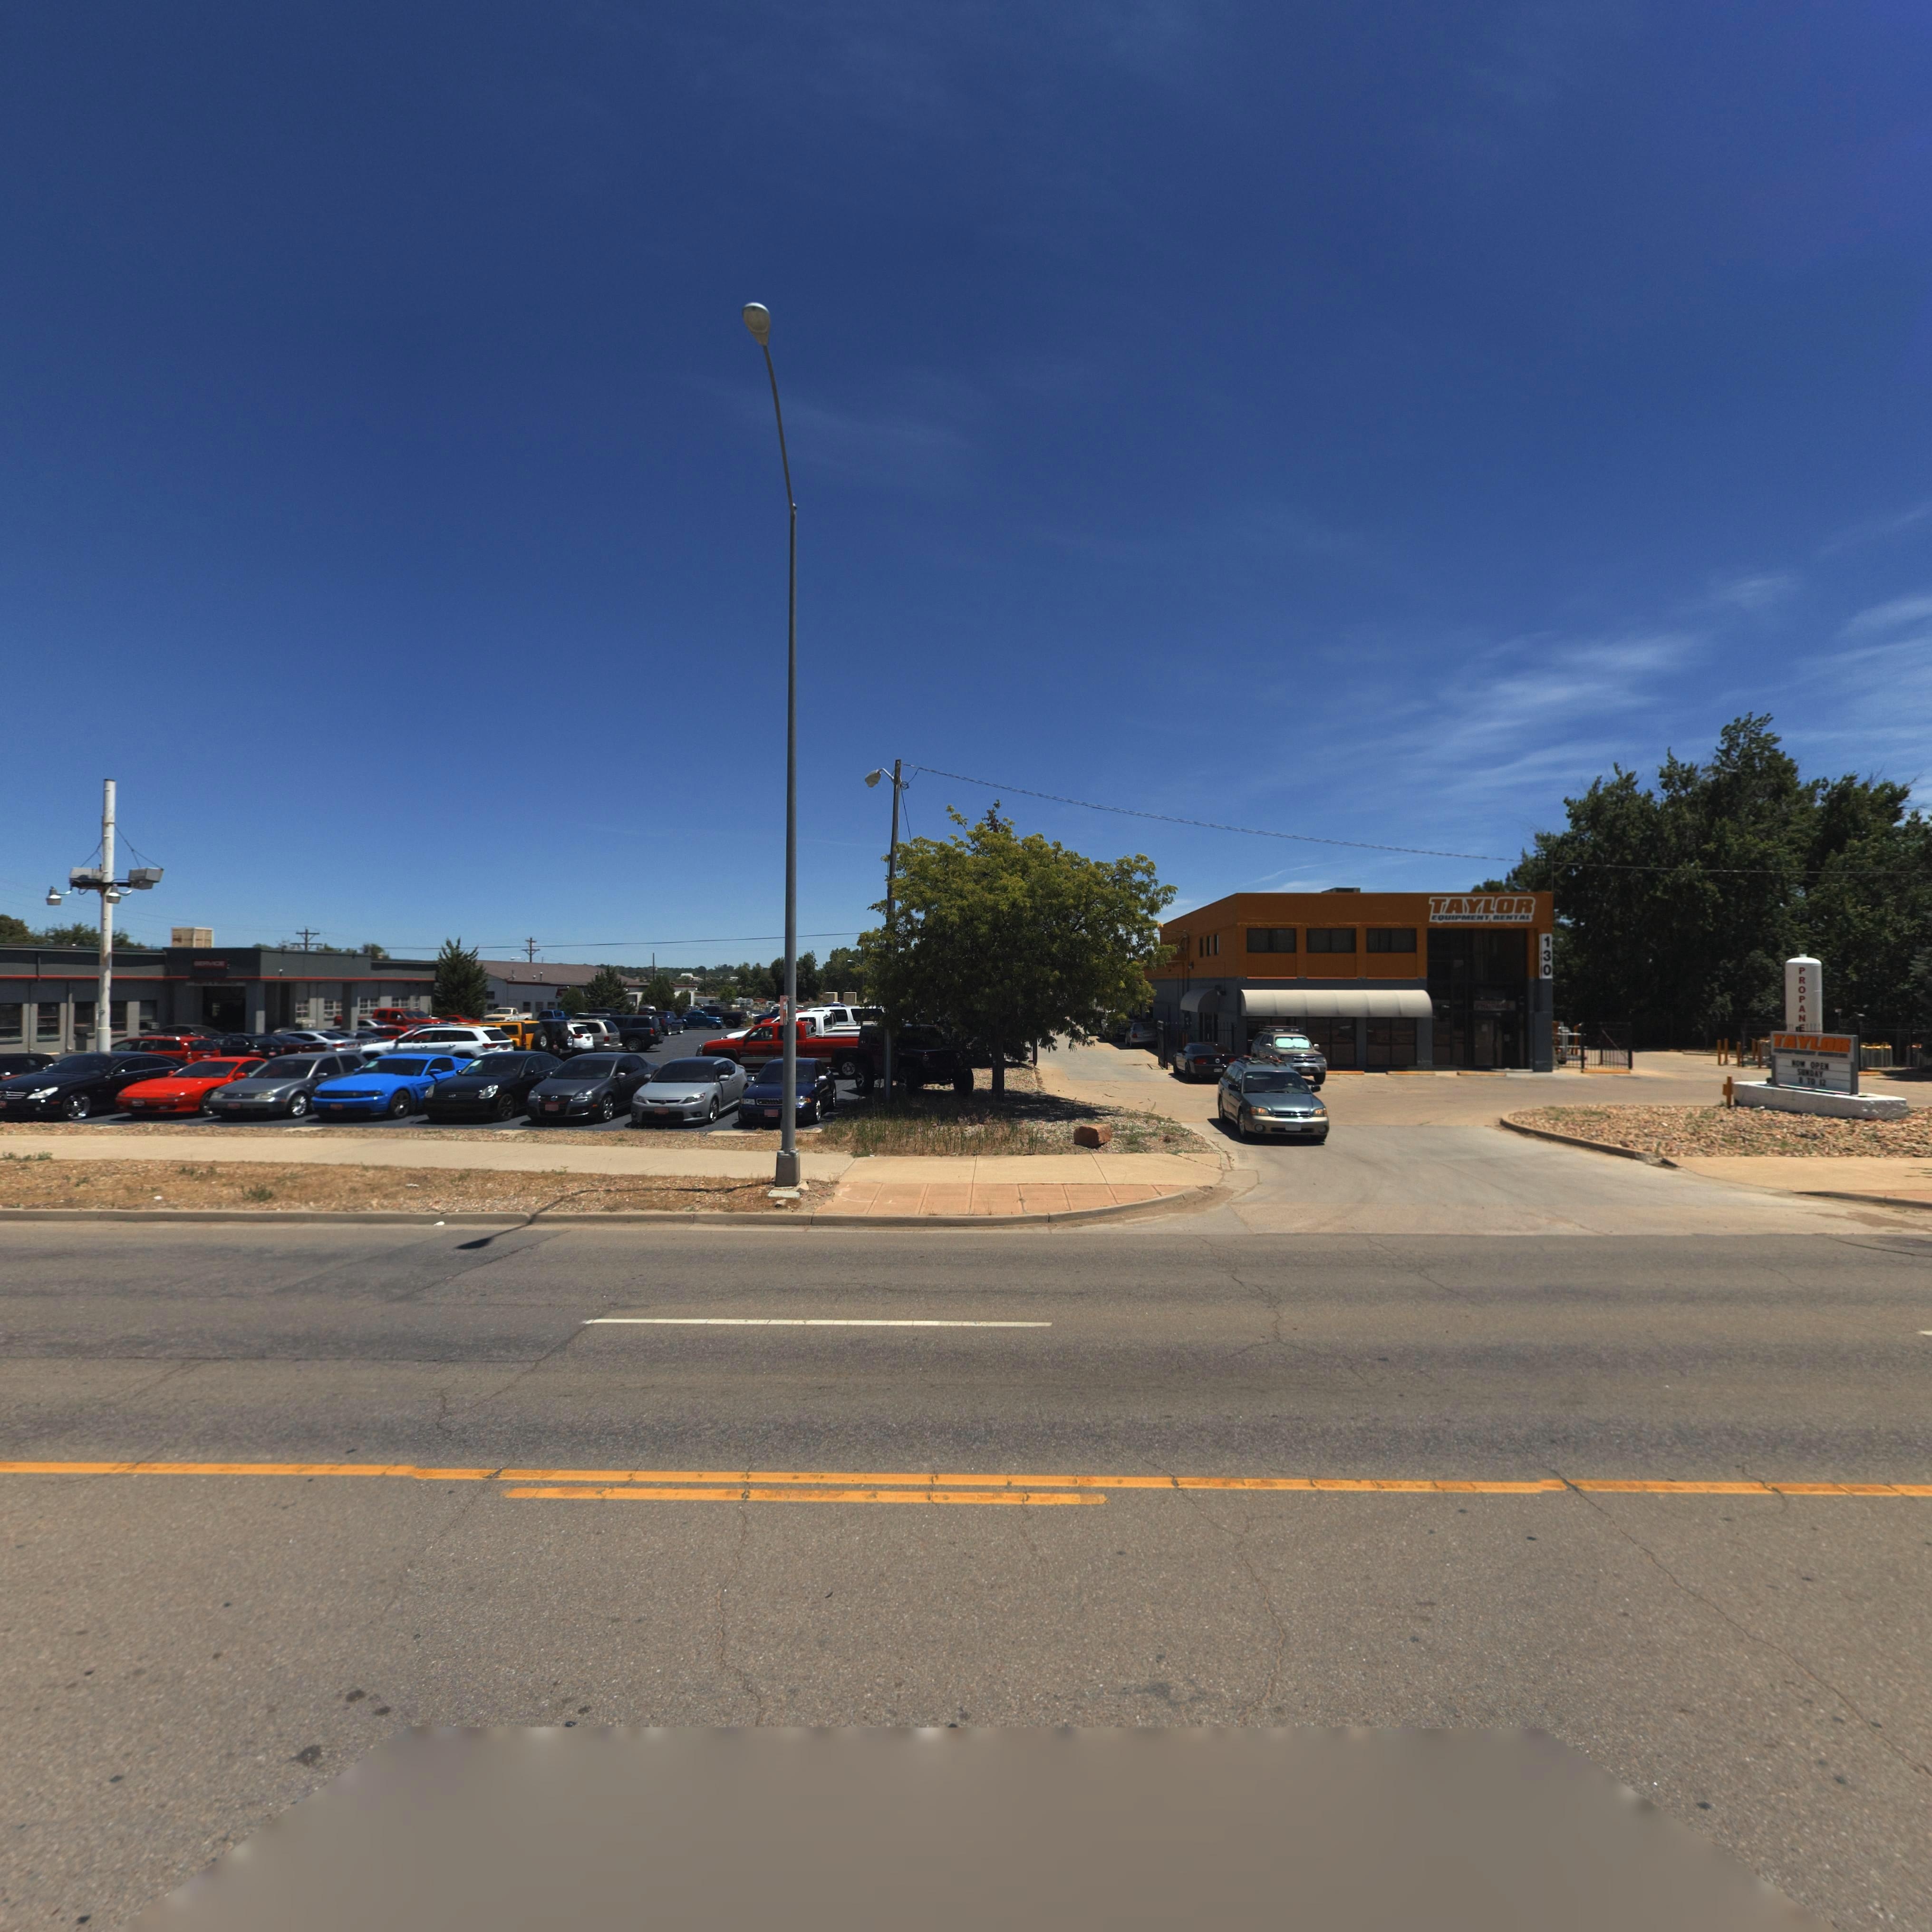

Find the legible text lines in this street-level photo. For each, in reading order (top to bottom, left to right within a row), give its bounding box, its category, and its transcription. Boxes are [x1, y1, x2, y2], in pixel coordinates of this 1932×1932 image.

[1428, 896, 1535, 914] BusinessName: TAYLOR
[1431, 914, 1531, 921] BusinessName: EQUIPMENT RENTAL
[1541, 934, 1552, 976] StreetNumber: 130
[1772, 1033, 1851, 1053] BusinessName: TAYLOR